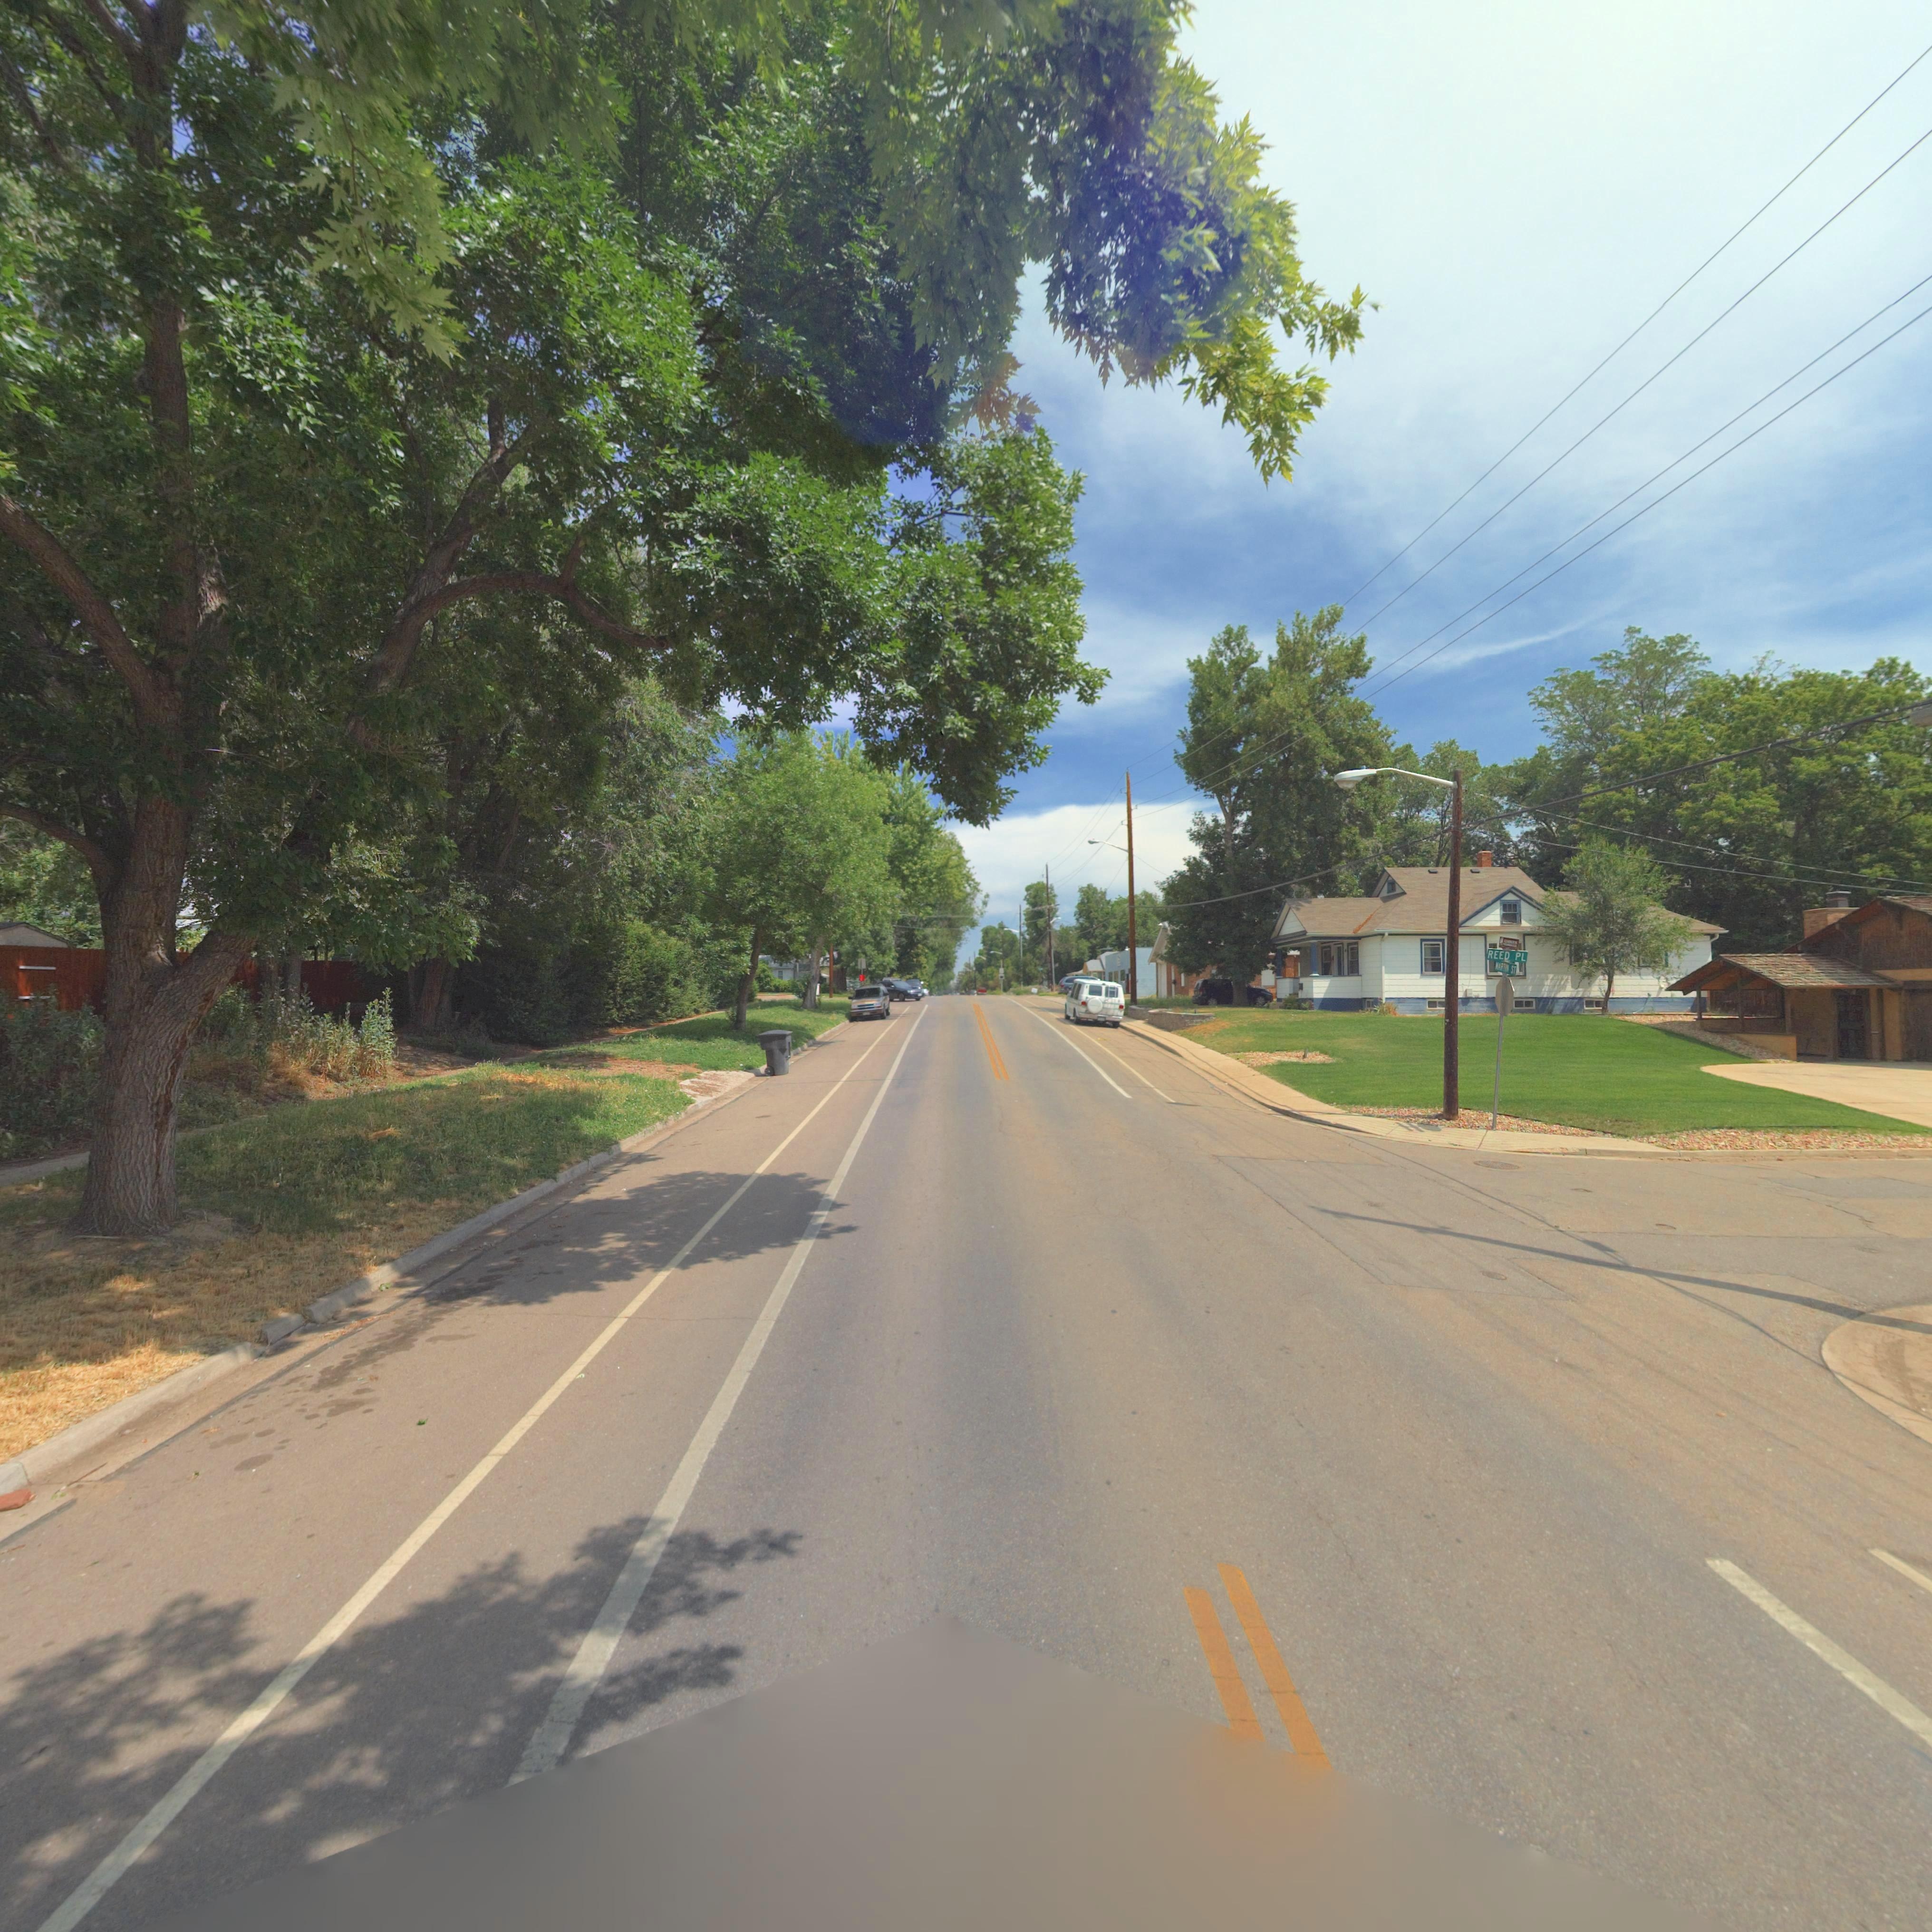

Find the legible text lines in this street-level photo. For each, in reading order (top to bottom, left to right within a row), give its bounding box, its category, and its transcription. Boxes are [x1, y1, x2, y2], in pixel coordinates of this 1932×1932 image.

[1487, 949, 1526, 961] StreetName: REED PL
[1495, 961, 1516, 975] StreetName: MARTIN ST